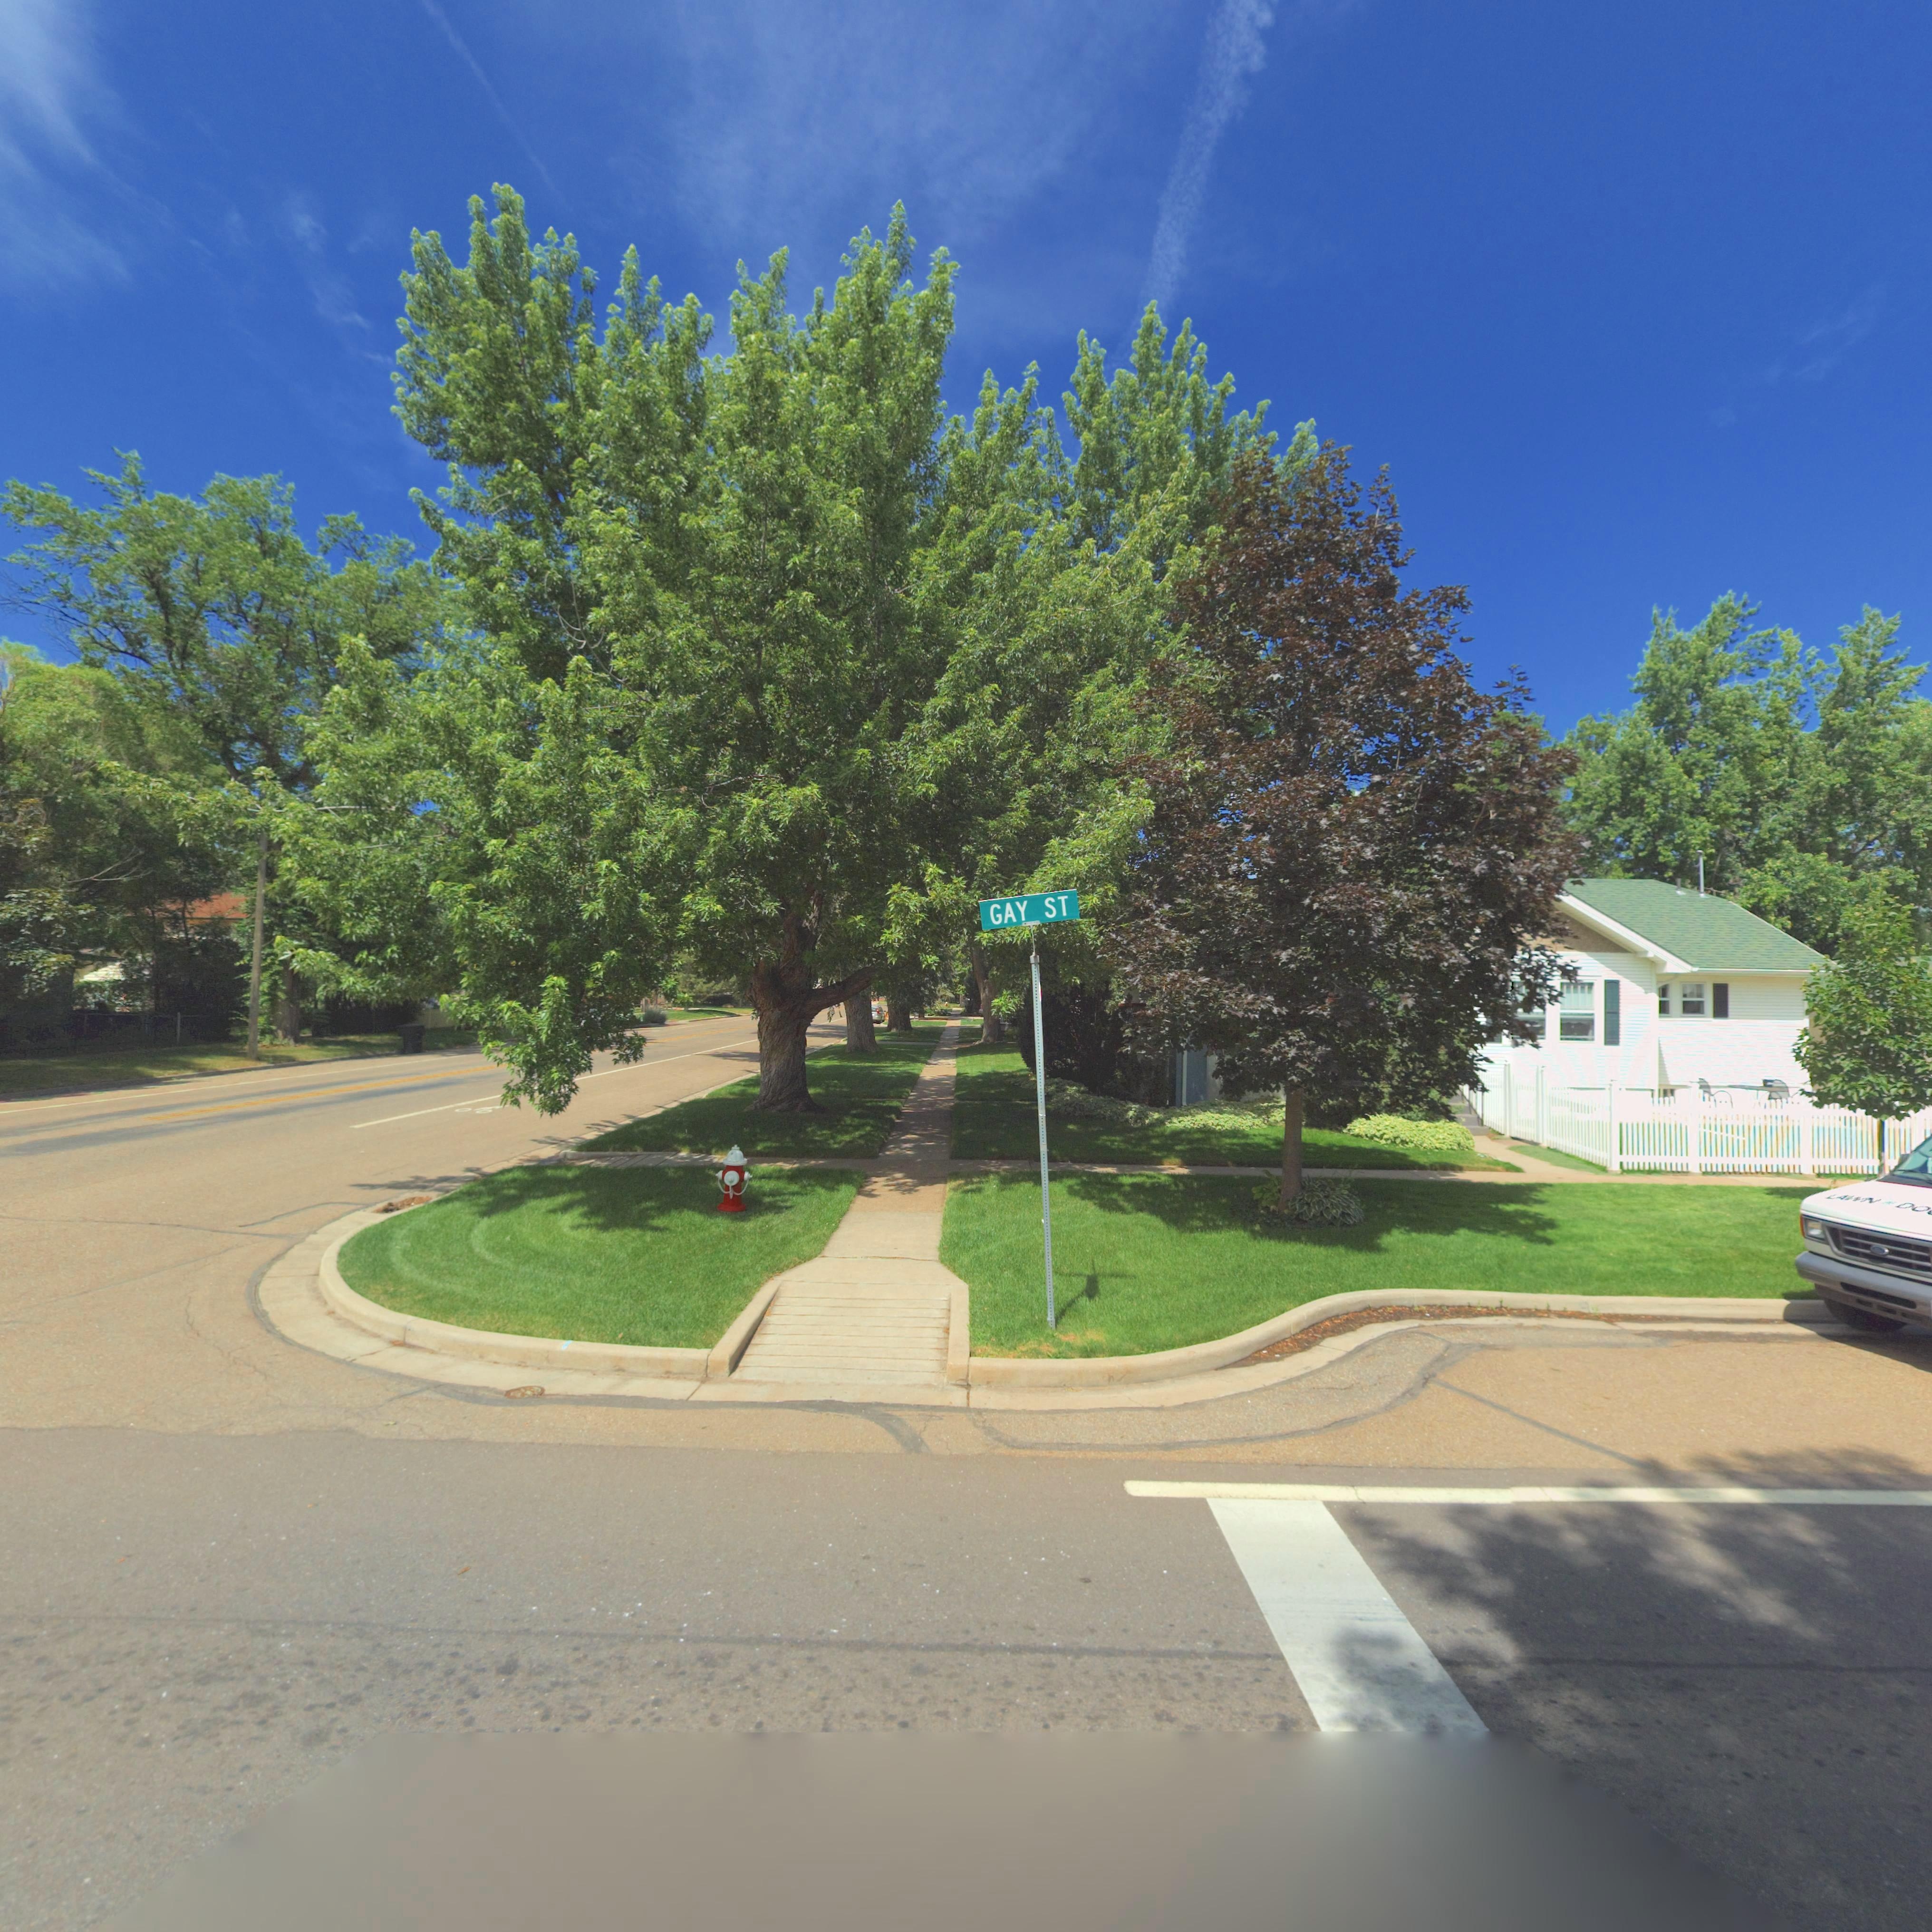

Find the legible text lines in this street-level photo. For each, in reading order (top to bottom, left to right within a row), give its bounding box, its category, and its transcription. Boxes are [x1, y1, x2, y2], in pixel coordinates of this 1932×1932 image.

[989, 894, 1070, 927] StreetName: GAY ST